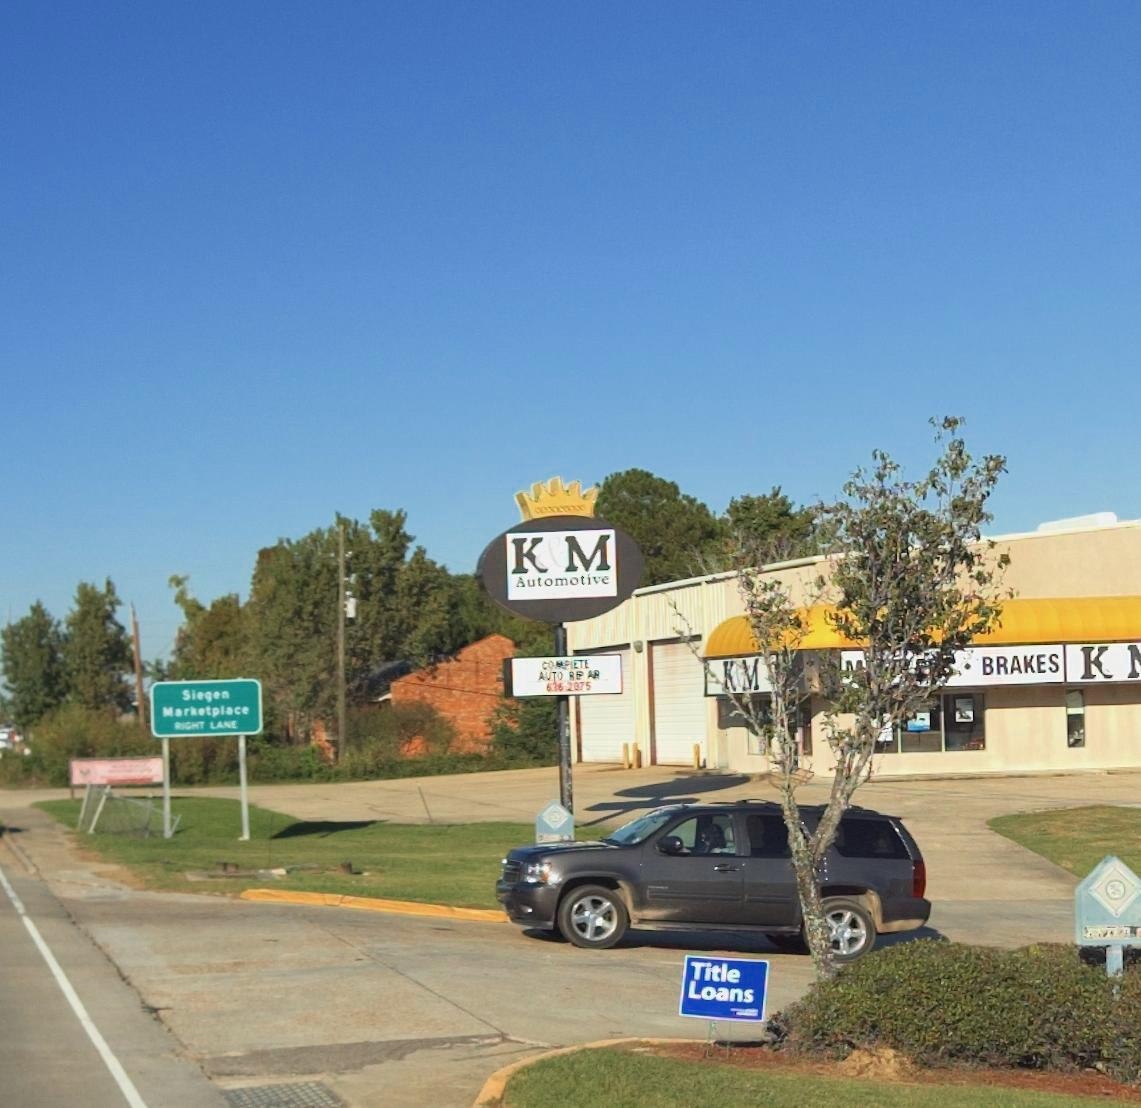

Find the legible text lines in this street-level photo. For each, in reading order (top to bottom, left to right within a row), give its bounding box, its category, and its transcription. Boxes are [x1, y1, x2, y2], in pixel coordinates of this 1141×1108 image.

[510, 533, 612, 575] BusinessName: K&M Automotive
[514, 573, 611, 589] BusinessName: Automotive
[541, 658, 593, 671] None: COMPLETE
[982, 652, 1059, 676] None: BRAKES
[1077, 644, 1115, 681] BusinessName: K
[537, 668, 601, 681] None: AUTO R**AIR
[722, 657, 760, 692] BusinessName: K*M
[545, 680, 593, 693] None: 6*6 2875
[181, 687, 231, 704] None: Siegen
[162, 703, 251, 720] None: Marketplace
[173, 720, 239, 732] None: RIGHT LANE
[689, 960, 742, 985] None: Title
[688, 979, 757, 1004] None: Loans